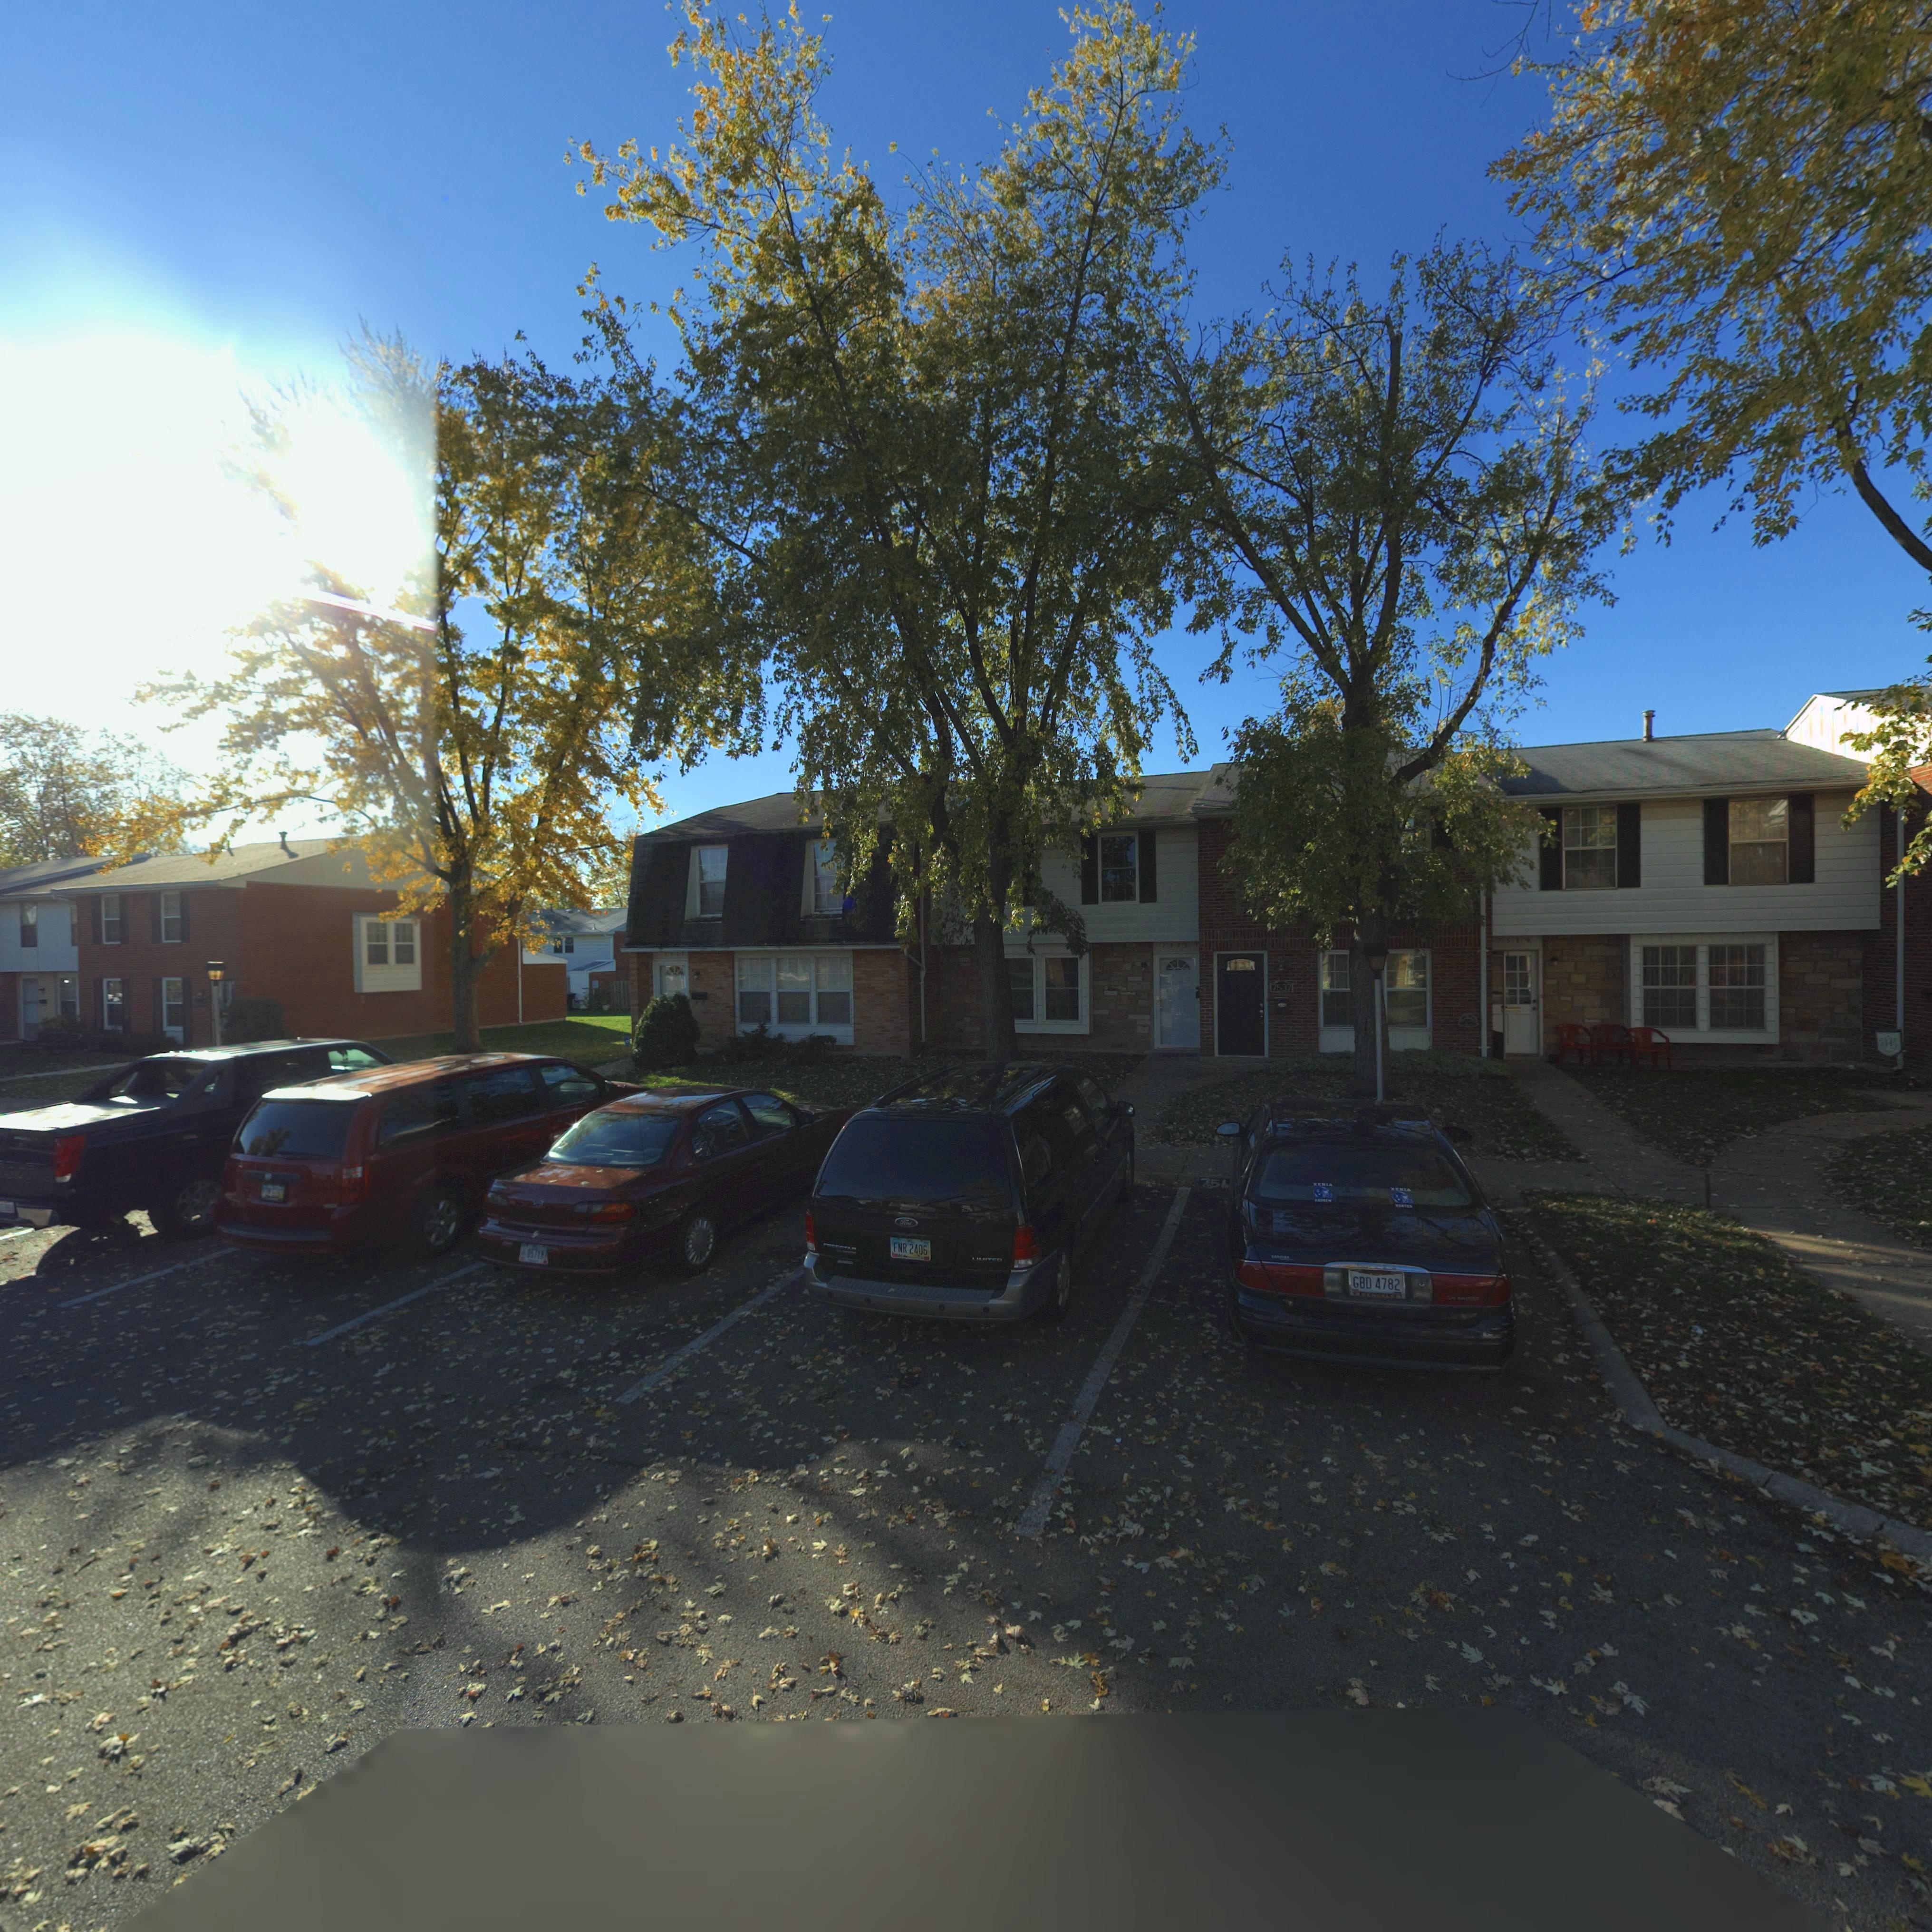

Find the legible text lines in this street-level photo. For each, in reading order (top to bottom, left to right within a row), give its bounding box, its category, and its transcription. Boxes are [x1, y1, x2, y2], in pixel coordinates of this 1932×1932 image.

[1496, 936, 1531, 945] StreetNumber: 7539
[1159, 941, 1189, 949] StreetNumber: 7535
[663, 951, 685, 957] StreetNumber: 7533
[1271, 983, 1292, 992] StreetNumber: 7537
[1199, 1177, 1230, 1190] StreetNumber: 754